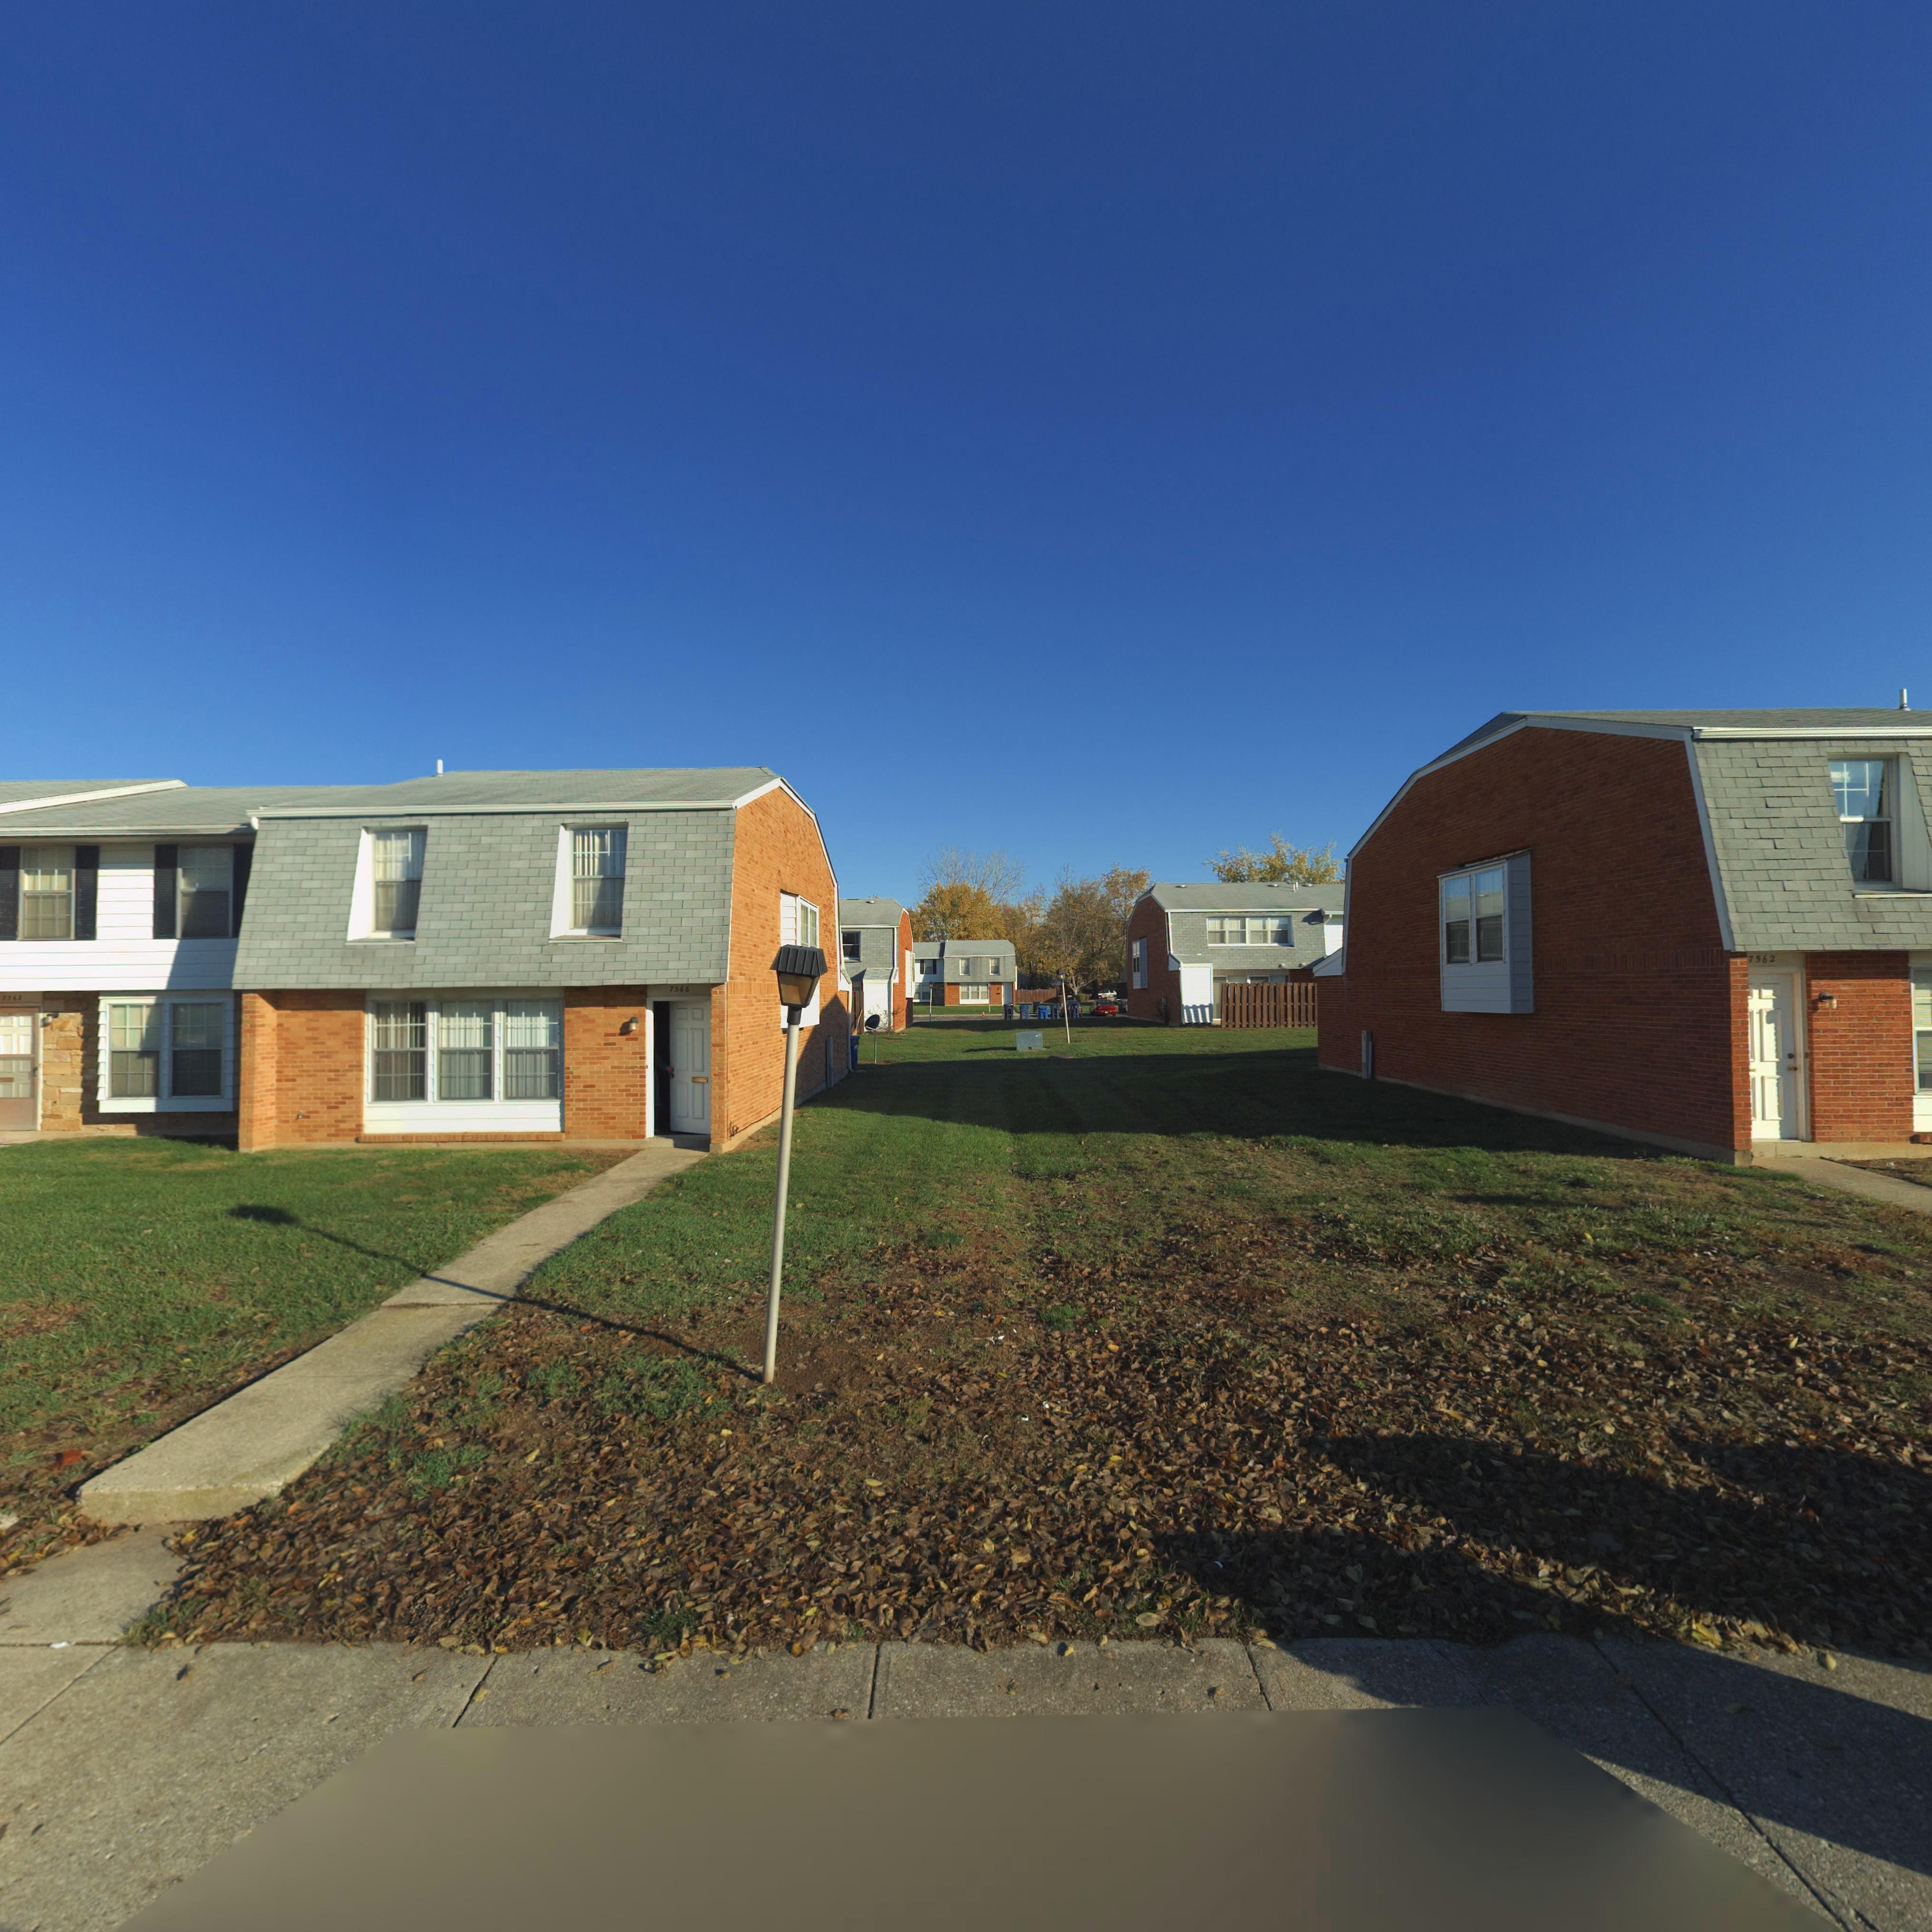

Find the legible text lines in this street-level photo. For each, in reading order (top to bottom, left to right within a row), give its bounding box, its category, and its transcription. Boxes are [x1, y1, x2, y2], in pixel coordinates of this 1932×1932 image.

[1748, 953, 1777, 965] StreetNumber: 7562
[669, 985, 690, 993] StreetNumber: 7566
[1, 993, 24, 1003] StreetNumber: *56*